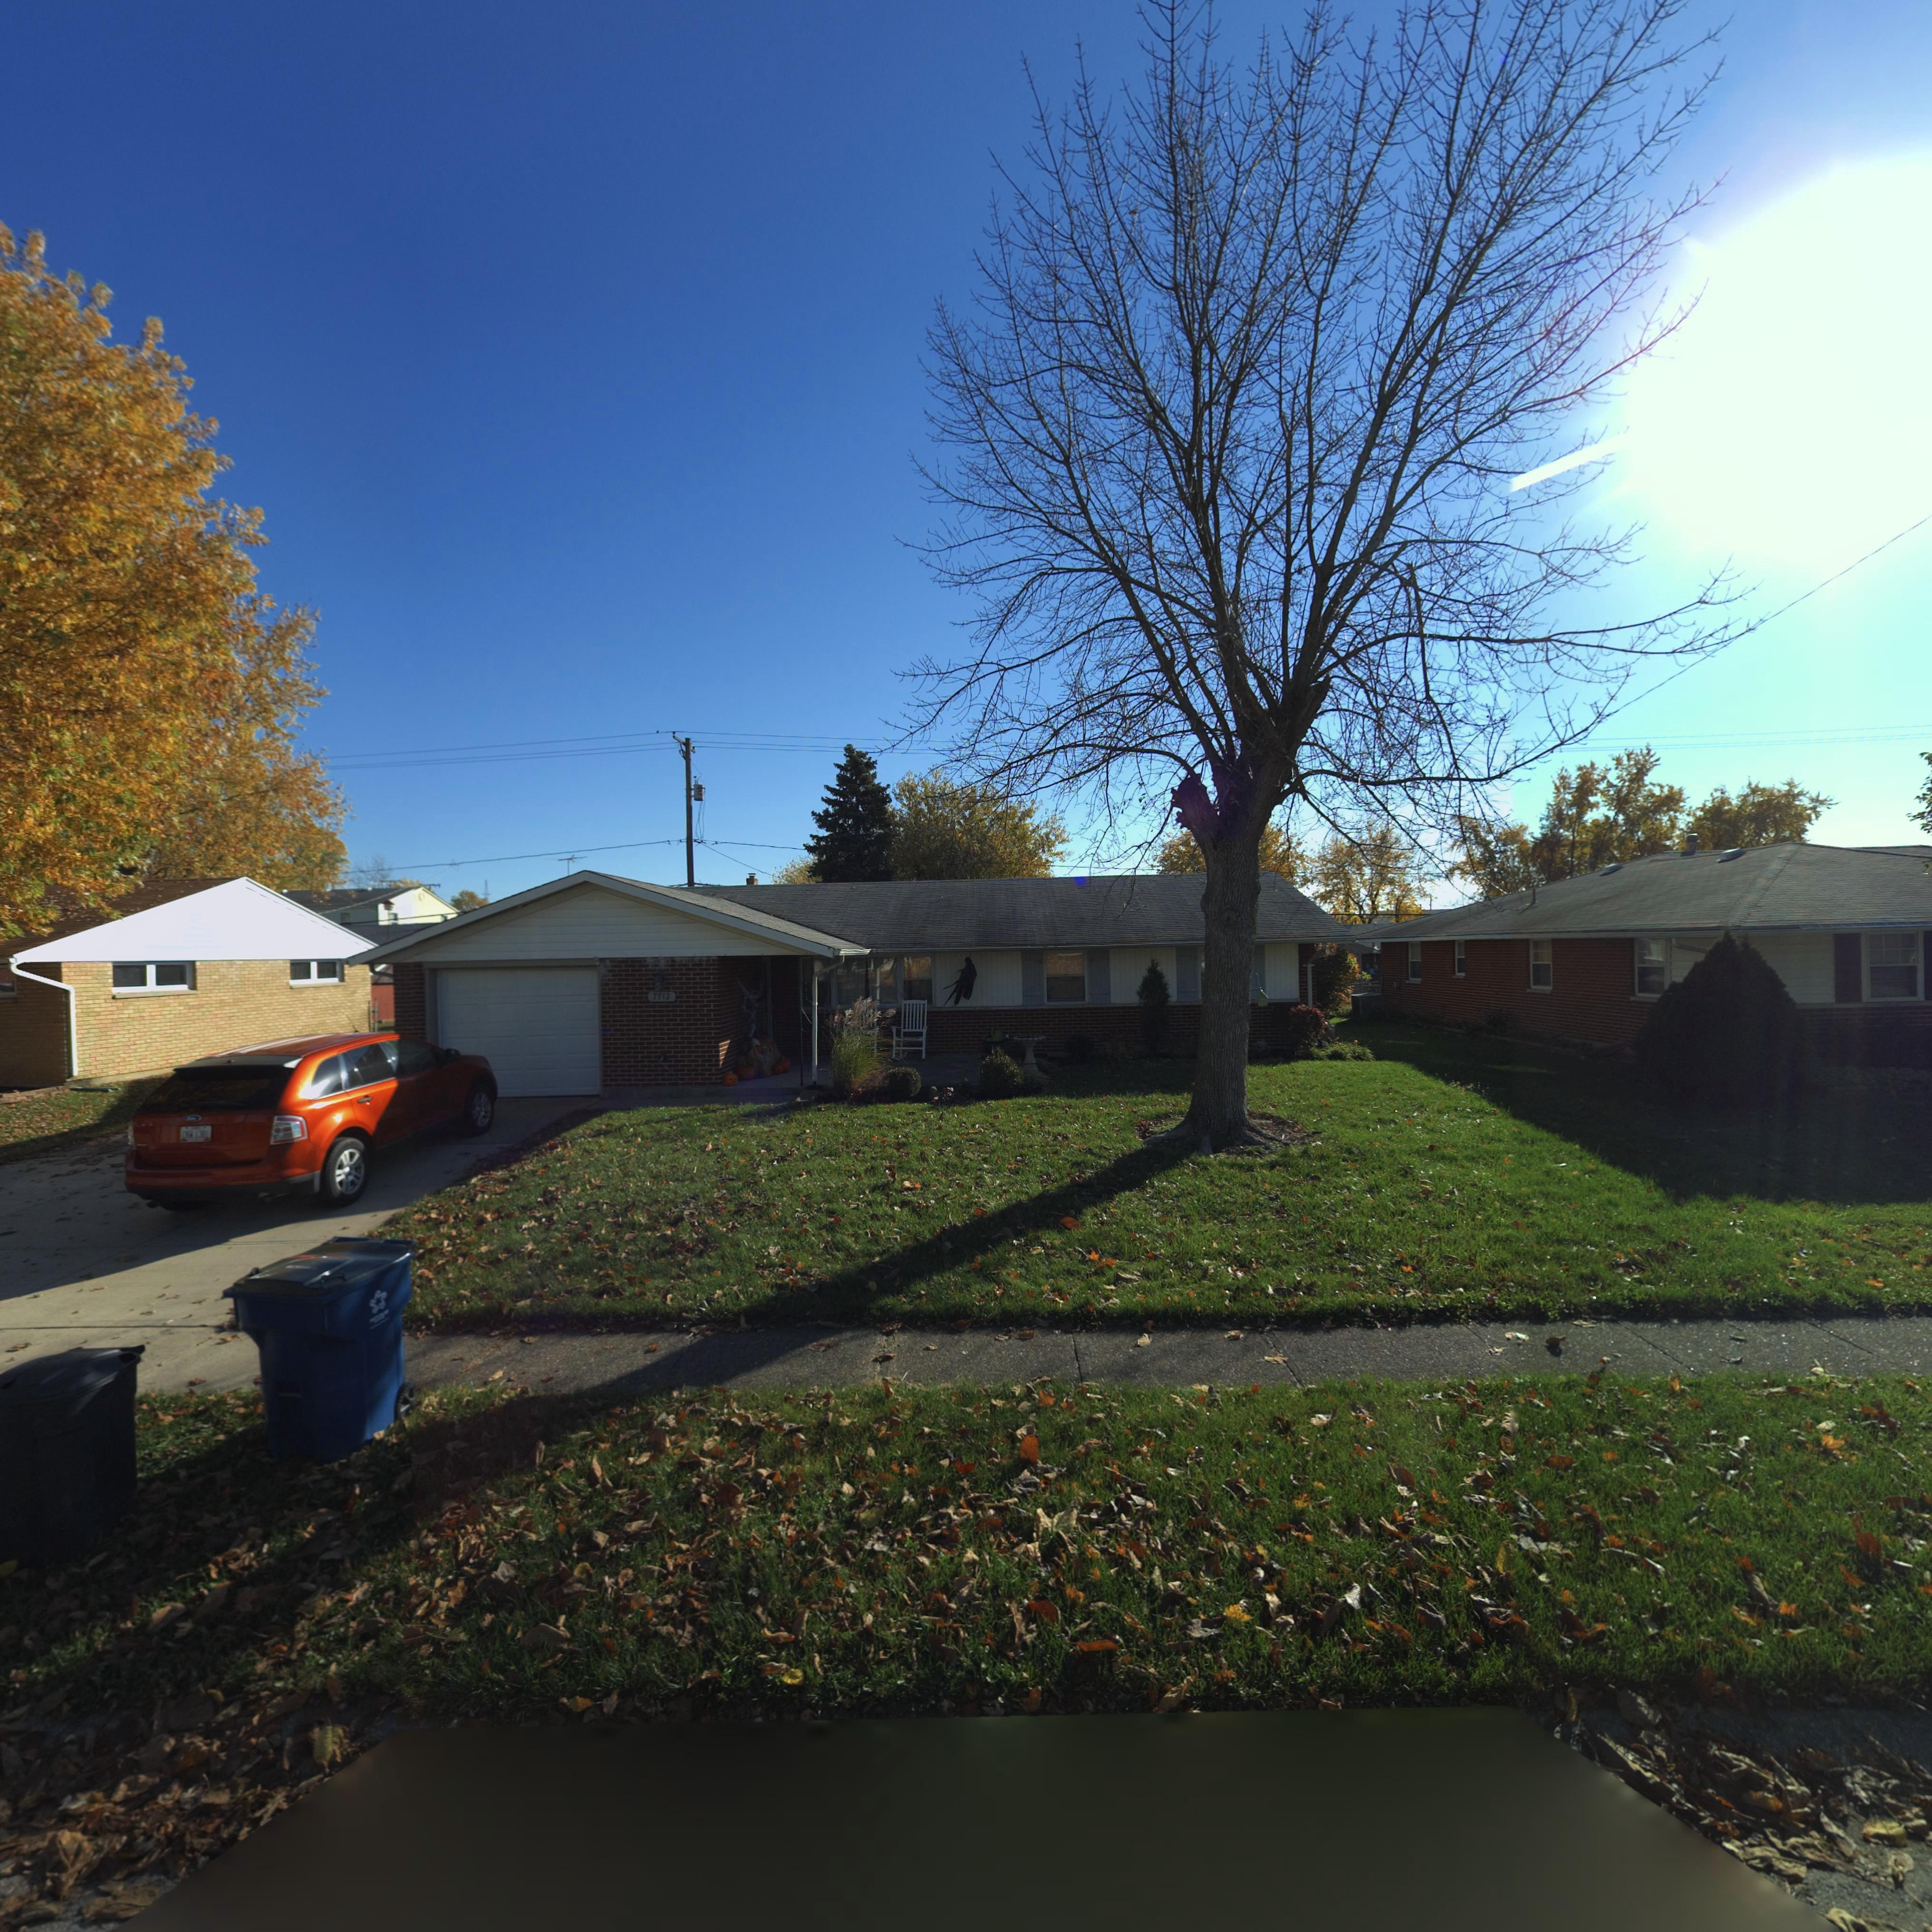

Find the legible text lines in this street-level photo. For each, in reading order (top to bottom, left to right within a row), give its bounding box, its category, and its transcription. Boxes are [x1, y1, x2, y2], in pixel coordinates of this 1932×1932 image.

[652, 992, 671, 1002] StreetNumber: 7712